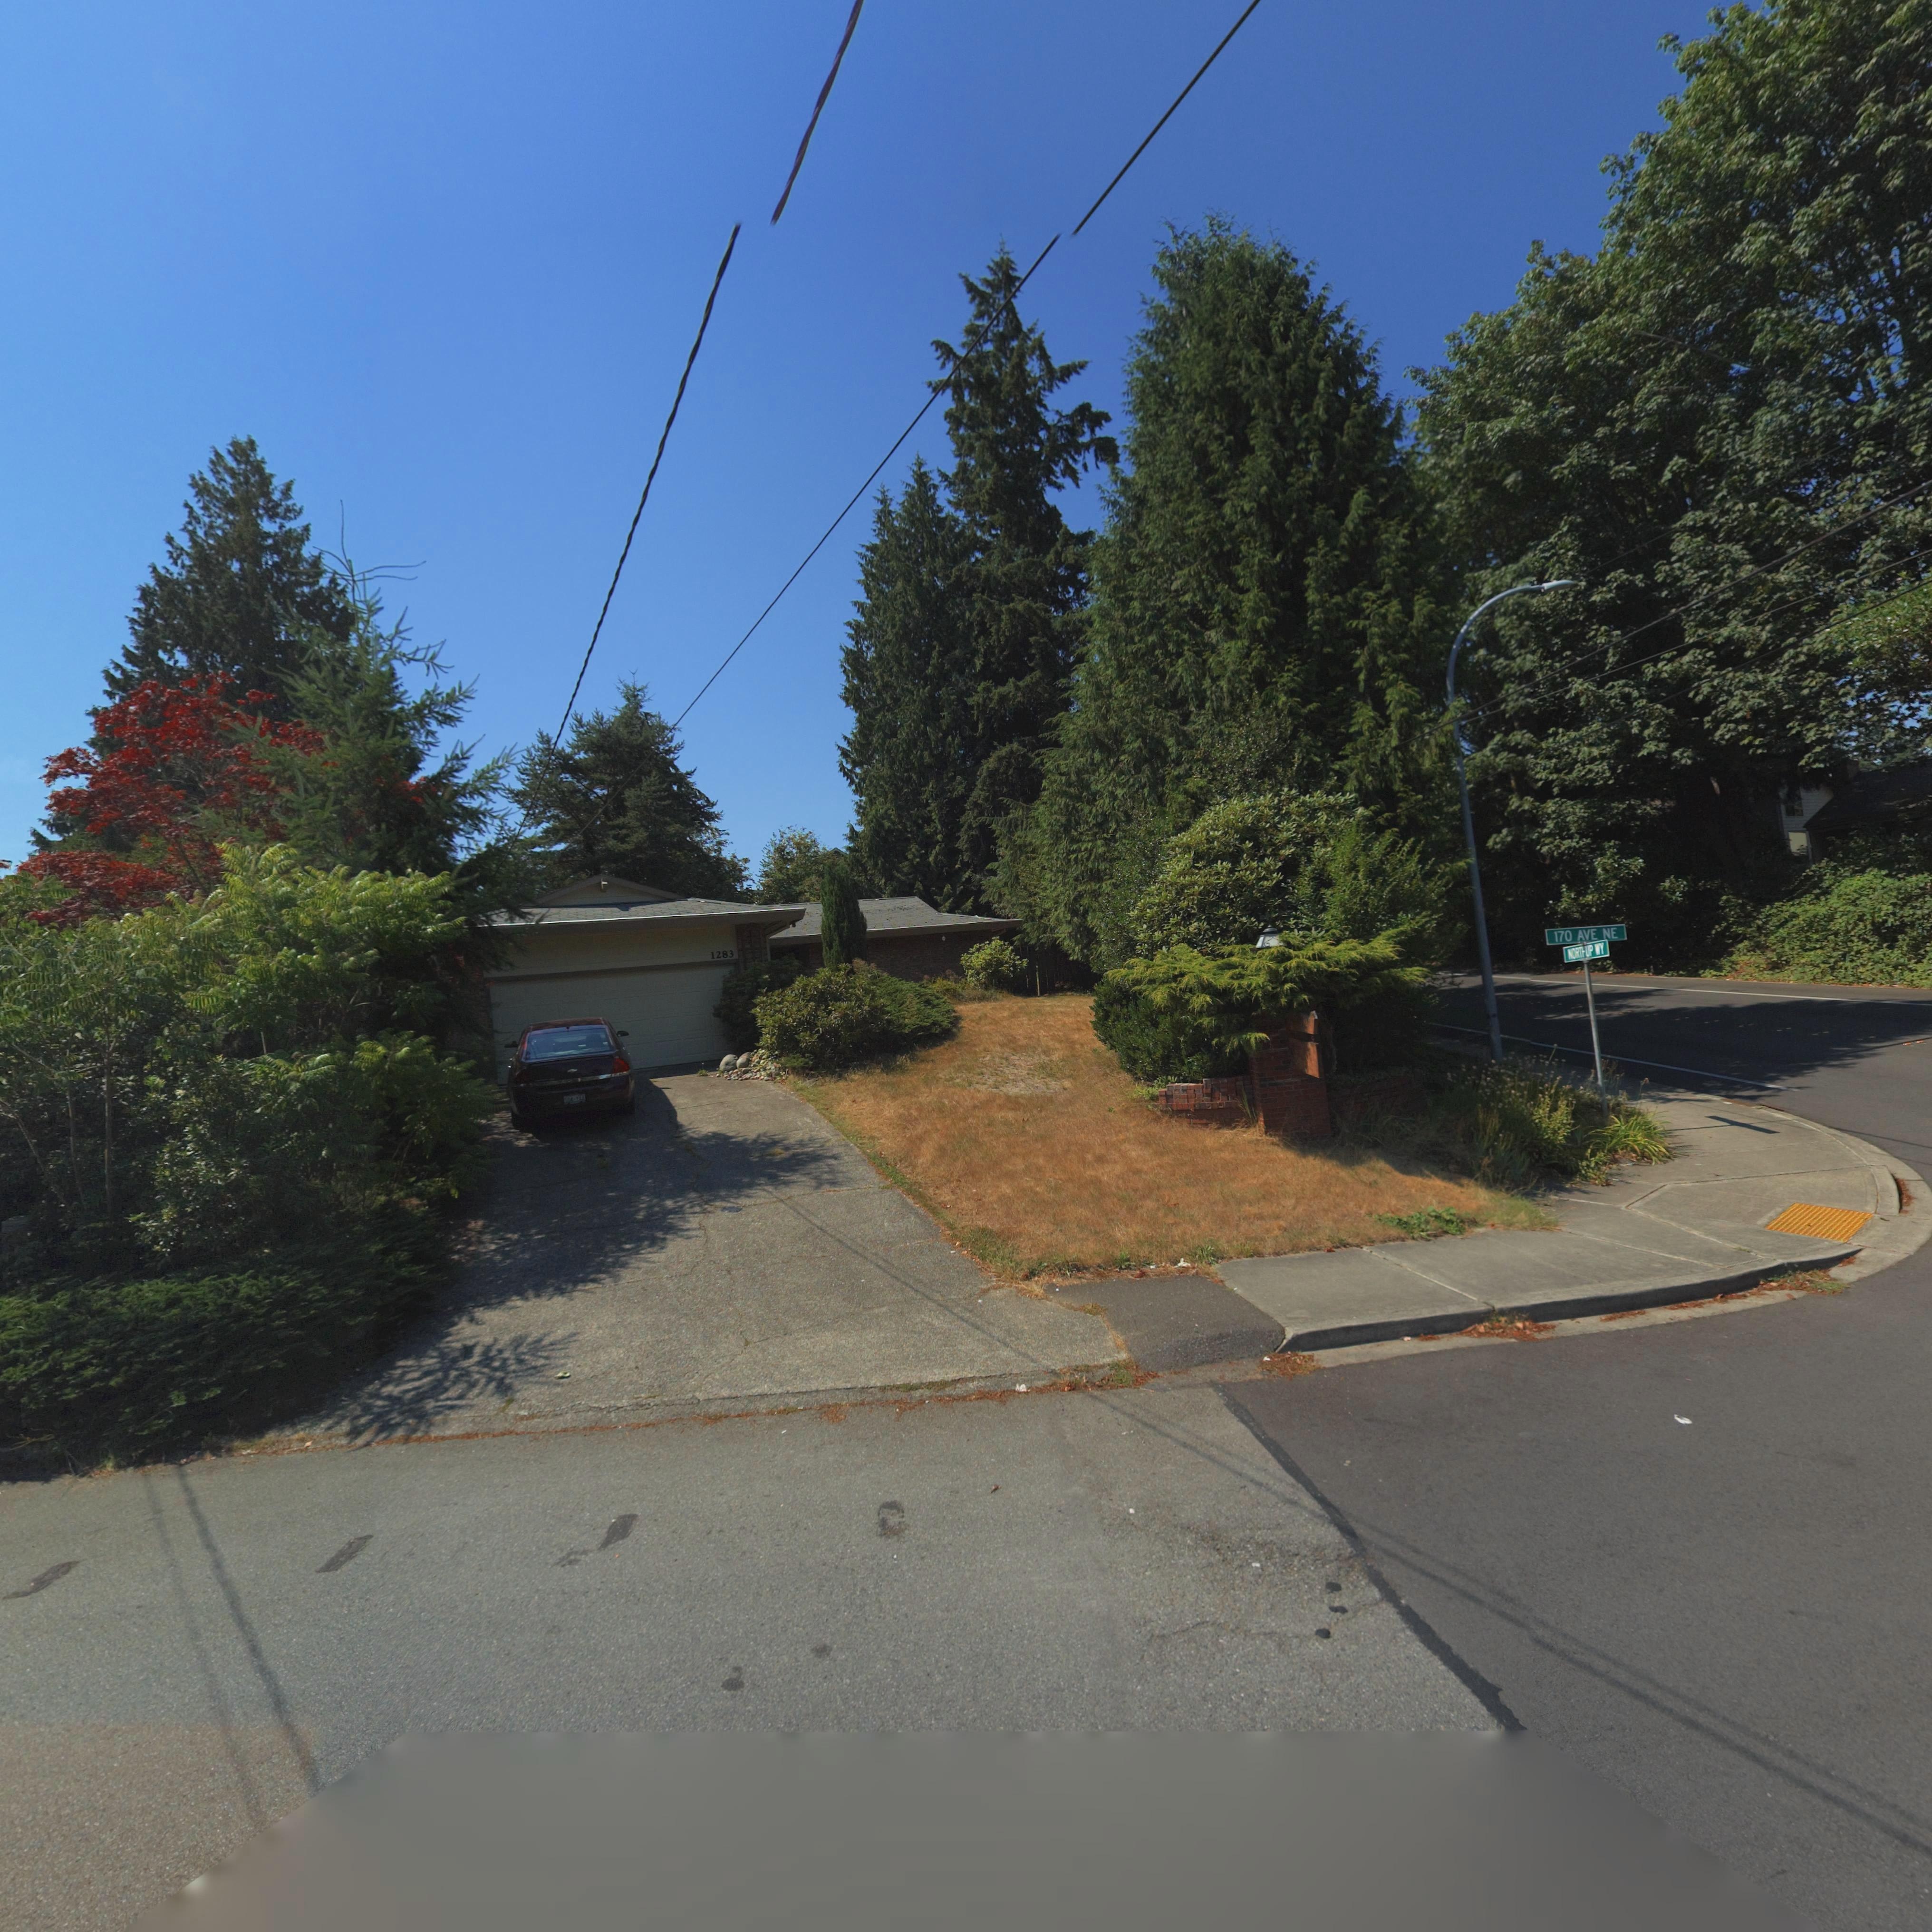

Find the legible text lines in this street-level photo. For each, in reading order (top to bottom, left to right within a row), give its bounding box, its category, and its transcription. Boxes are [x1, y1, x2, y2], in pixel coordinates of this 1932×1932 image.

[1553, 927, 1619, 942] StreetName: 170 AVE NE
[710, 949, 734, 960] StreetNumber: 1283
[1566, 941, 1604, 959] StreetName: NORT*UP WY